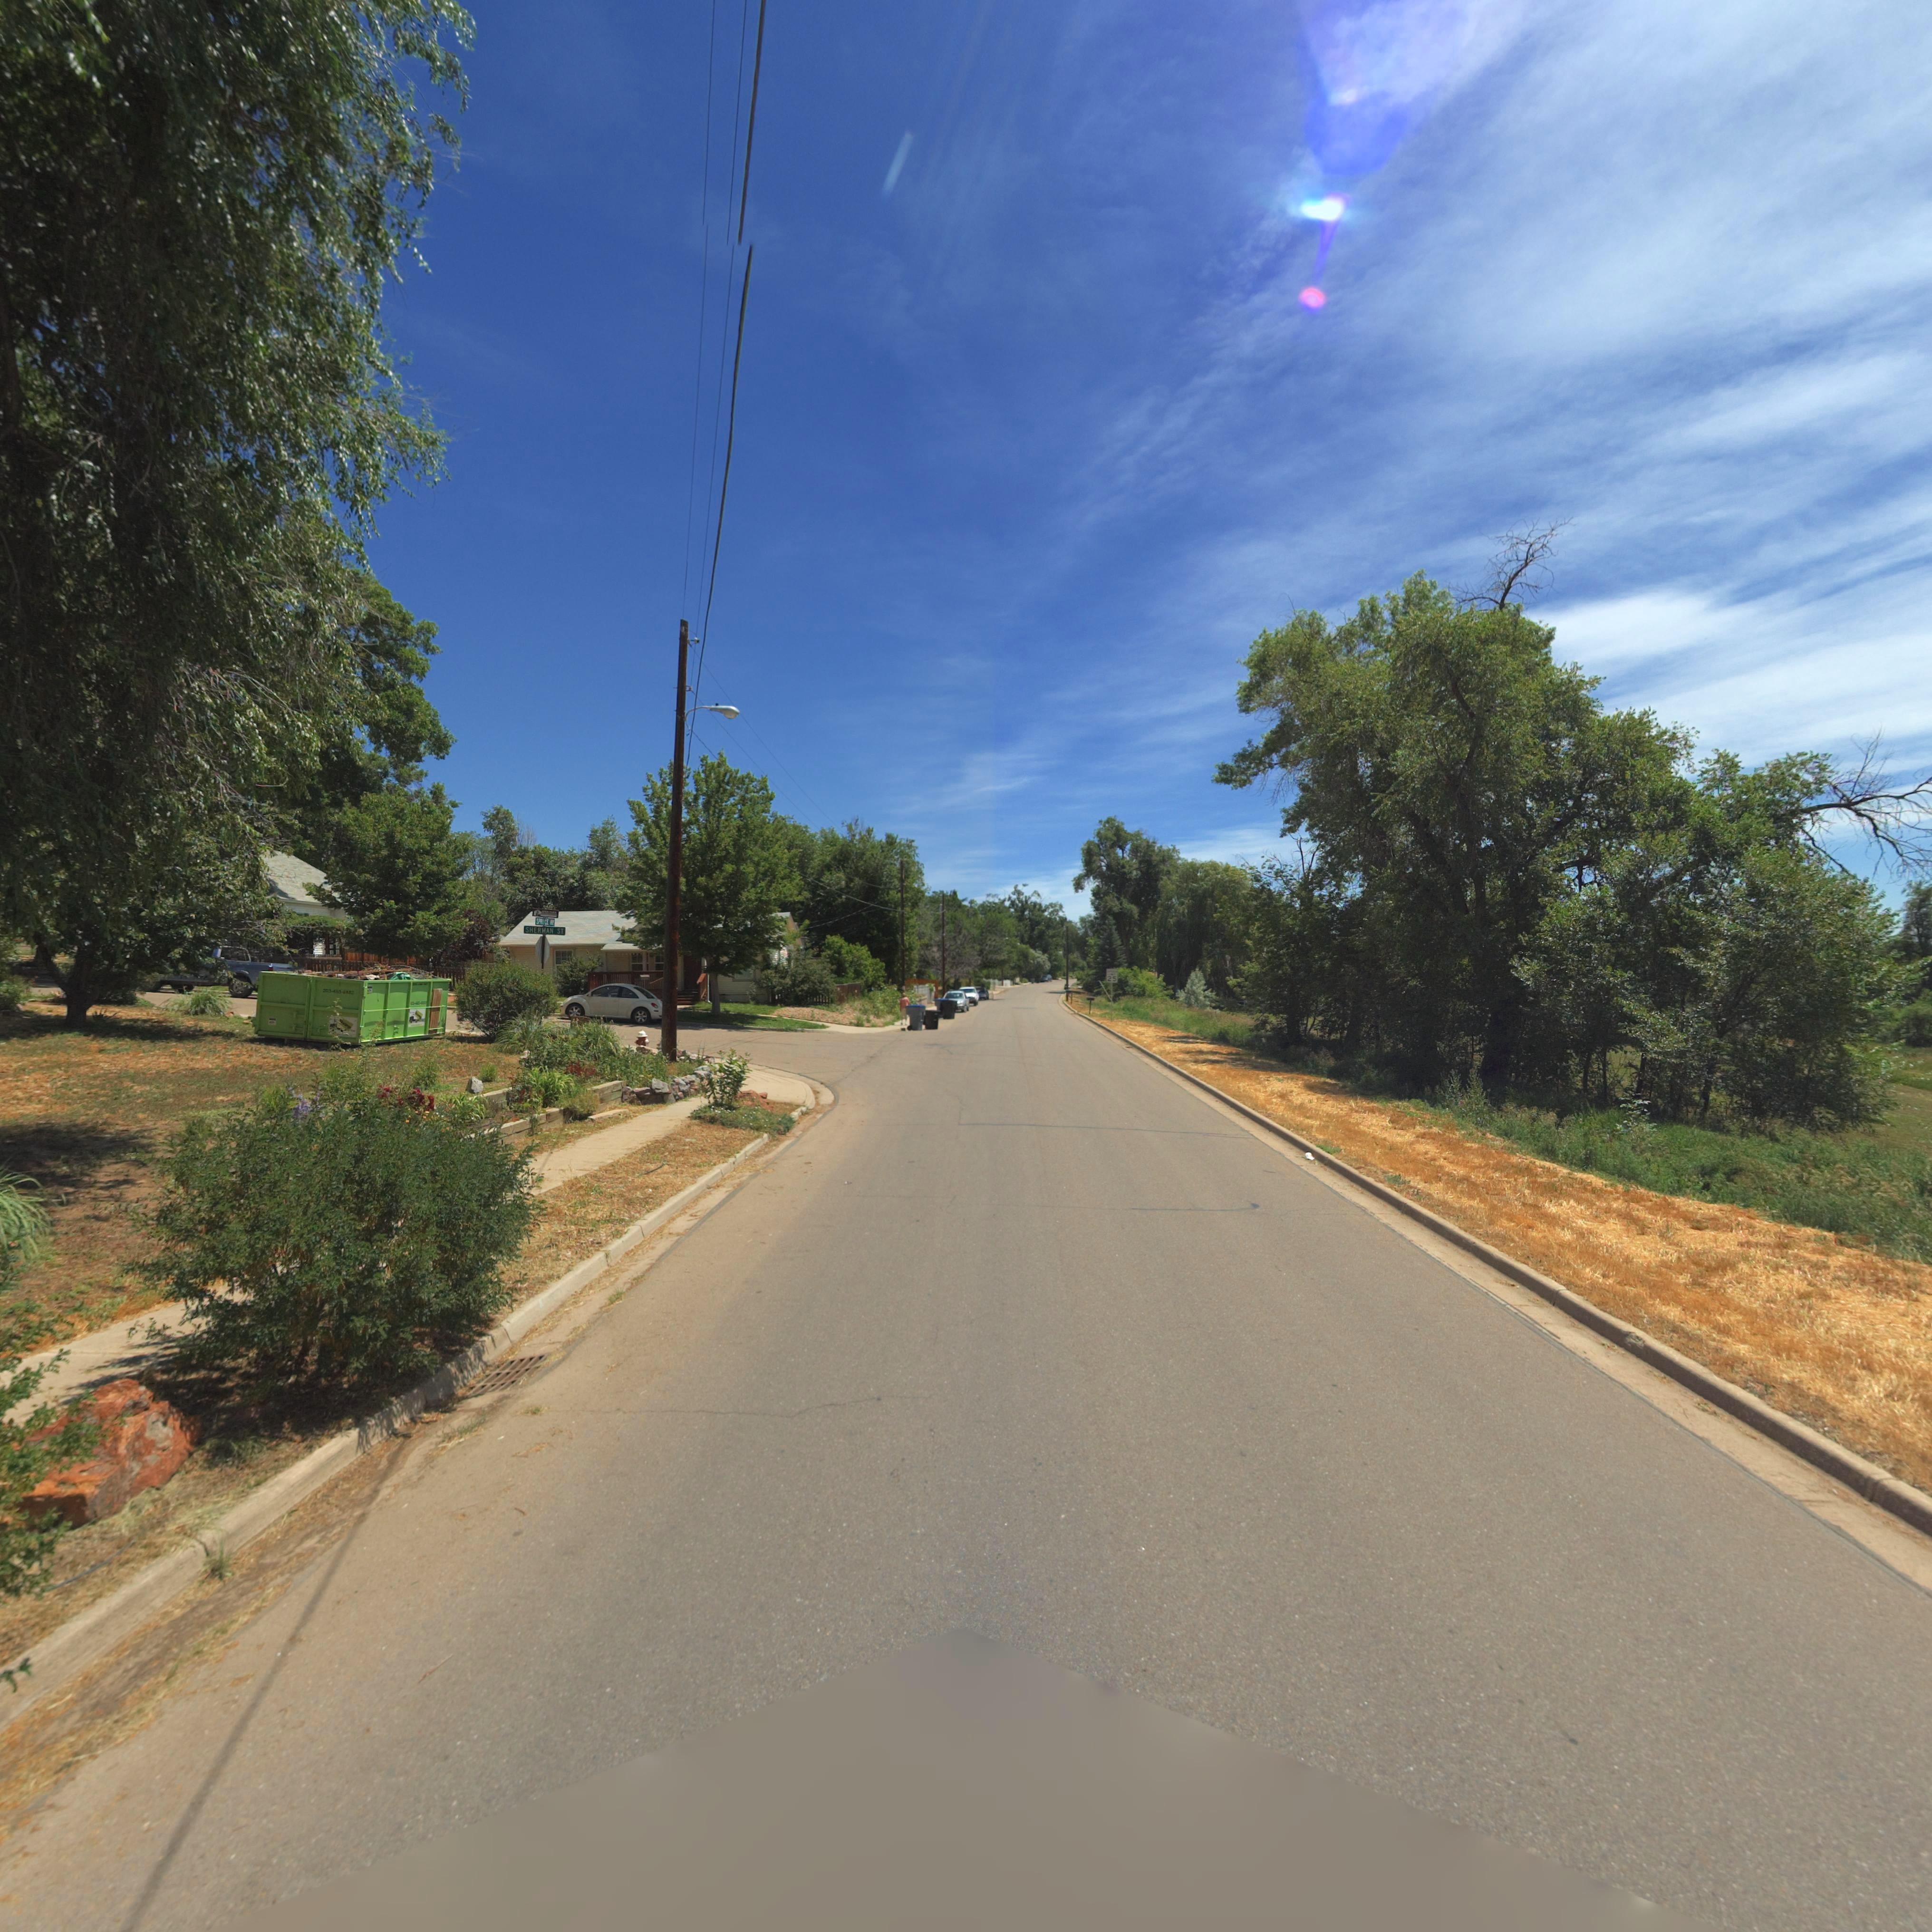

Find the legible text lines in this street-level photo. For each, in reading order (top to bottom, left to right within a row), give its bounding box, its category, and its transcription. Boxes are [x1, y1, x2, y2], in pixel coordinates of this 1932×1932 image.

[536, 918, 554, 925] StreetName: SPR*CE AV
[526, 927, 563, 934] StreetName: SHERMAN ST